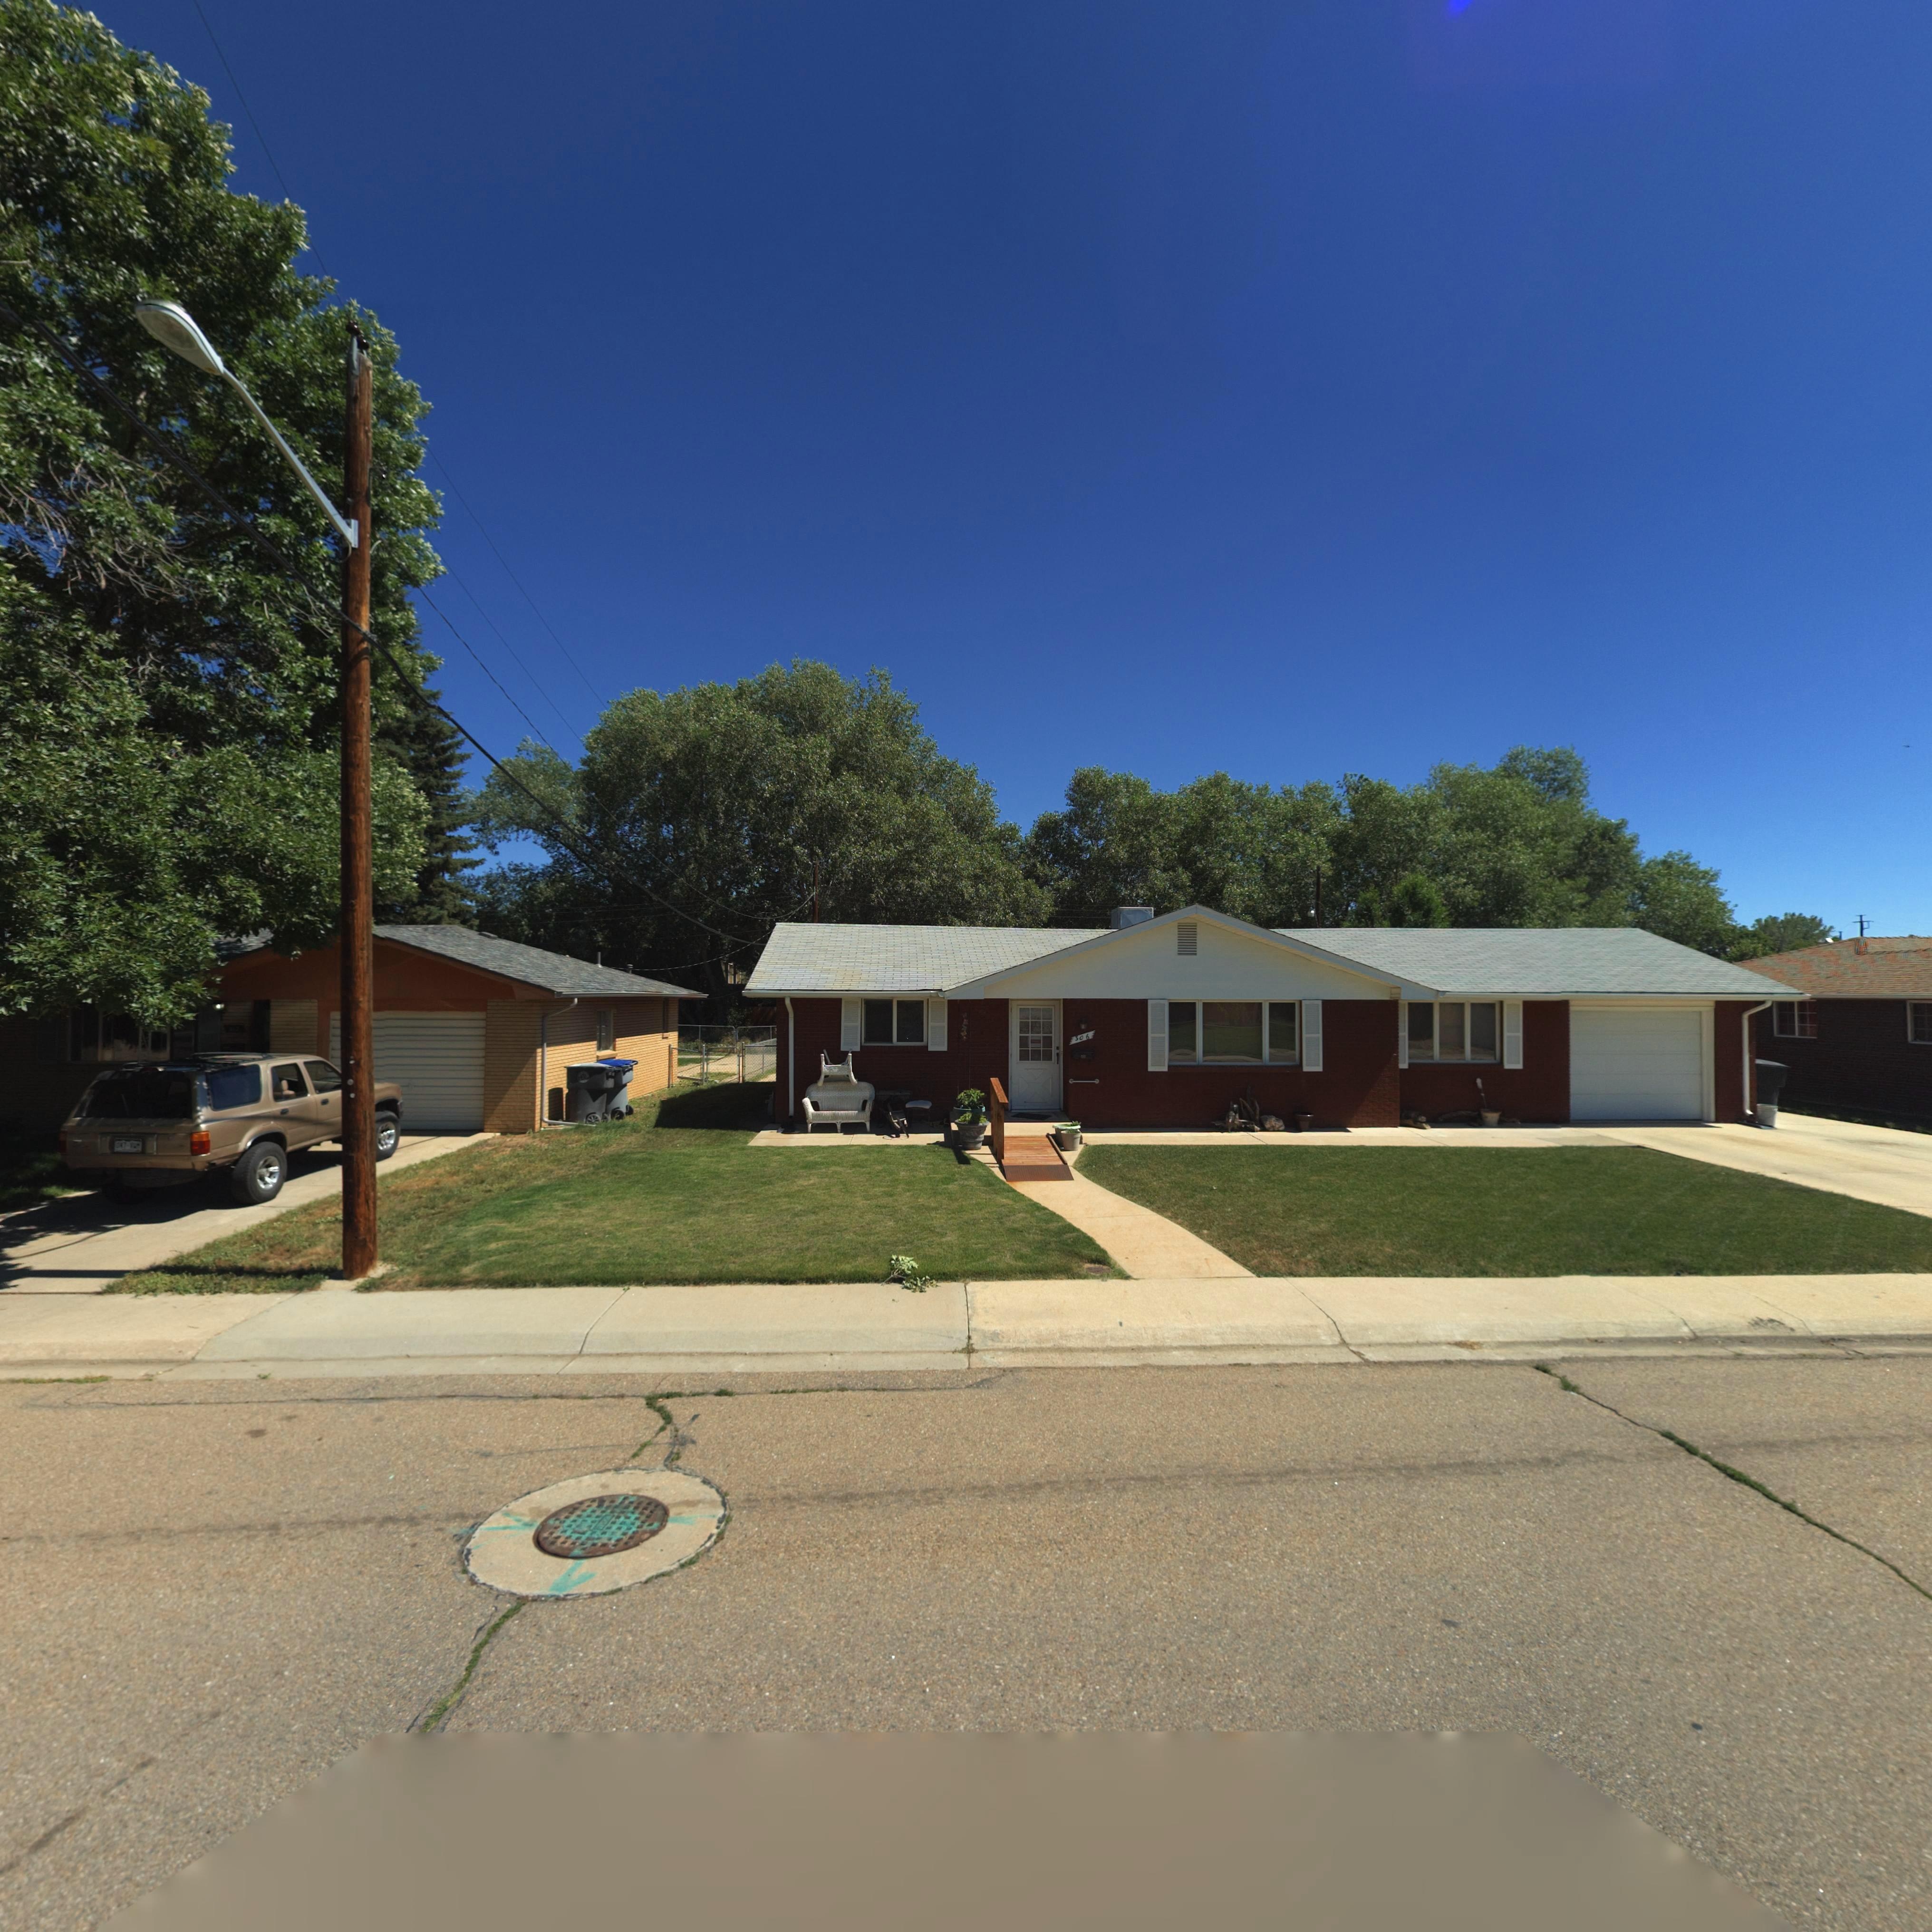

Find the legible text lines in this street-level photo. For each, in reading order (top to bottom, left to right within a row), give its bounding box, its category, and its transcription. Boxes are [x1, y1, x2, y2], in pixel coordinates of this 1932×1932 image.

[1073, 1033, 1090, 1041] StreetNumber: 306